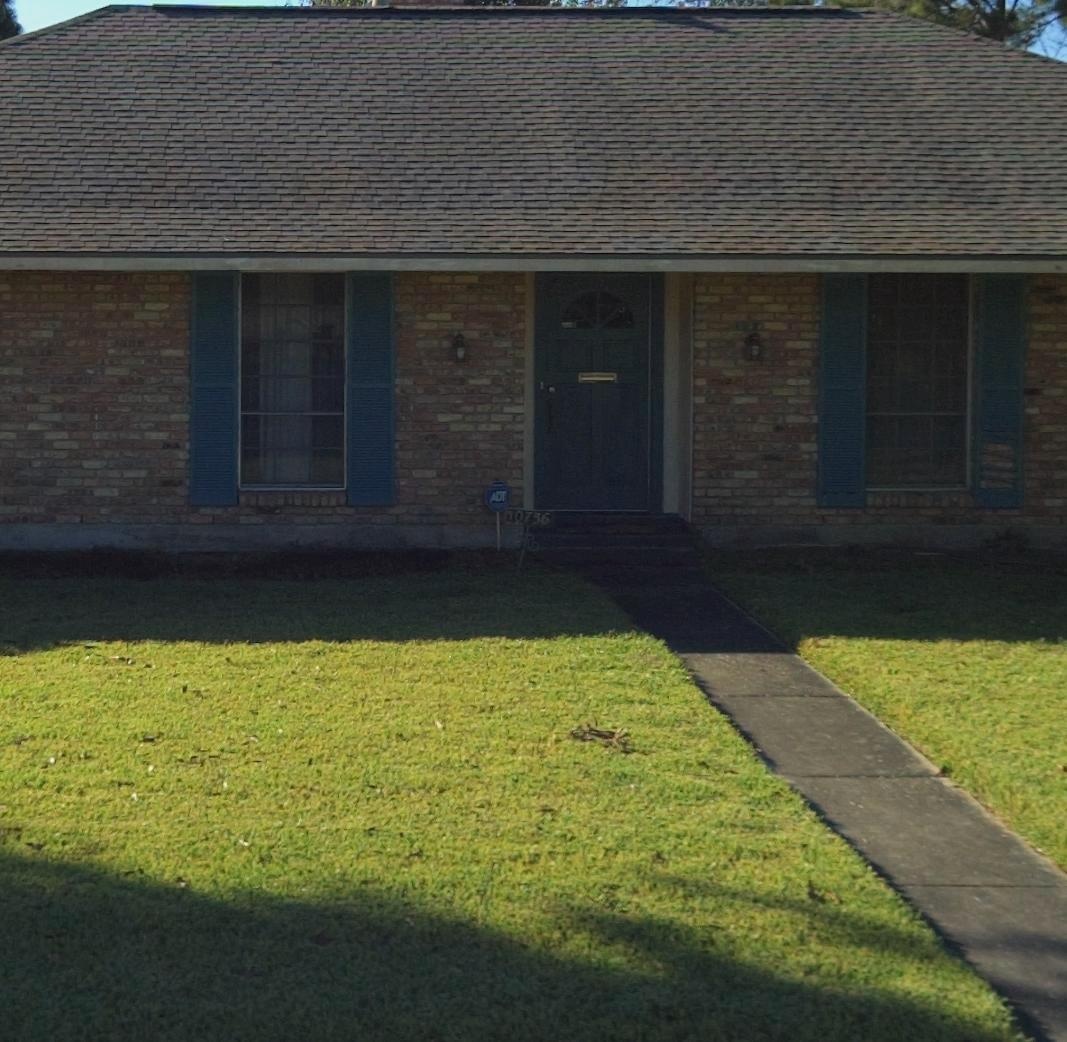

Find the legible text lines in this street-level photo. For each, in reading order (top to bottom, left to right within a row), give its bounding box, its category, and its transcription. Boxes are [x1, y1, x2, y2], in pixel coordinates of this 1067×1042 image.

[487, 488, 509, 505] None: ADT
[503, 507, 552, 528] StreetNumber: 10756